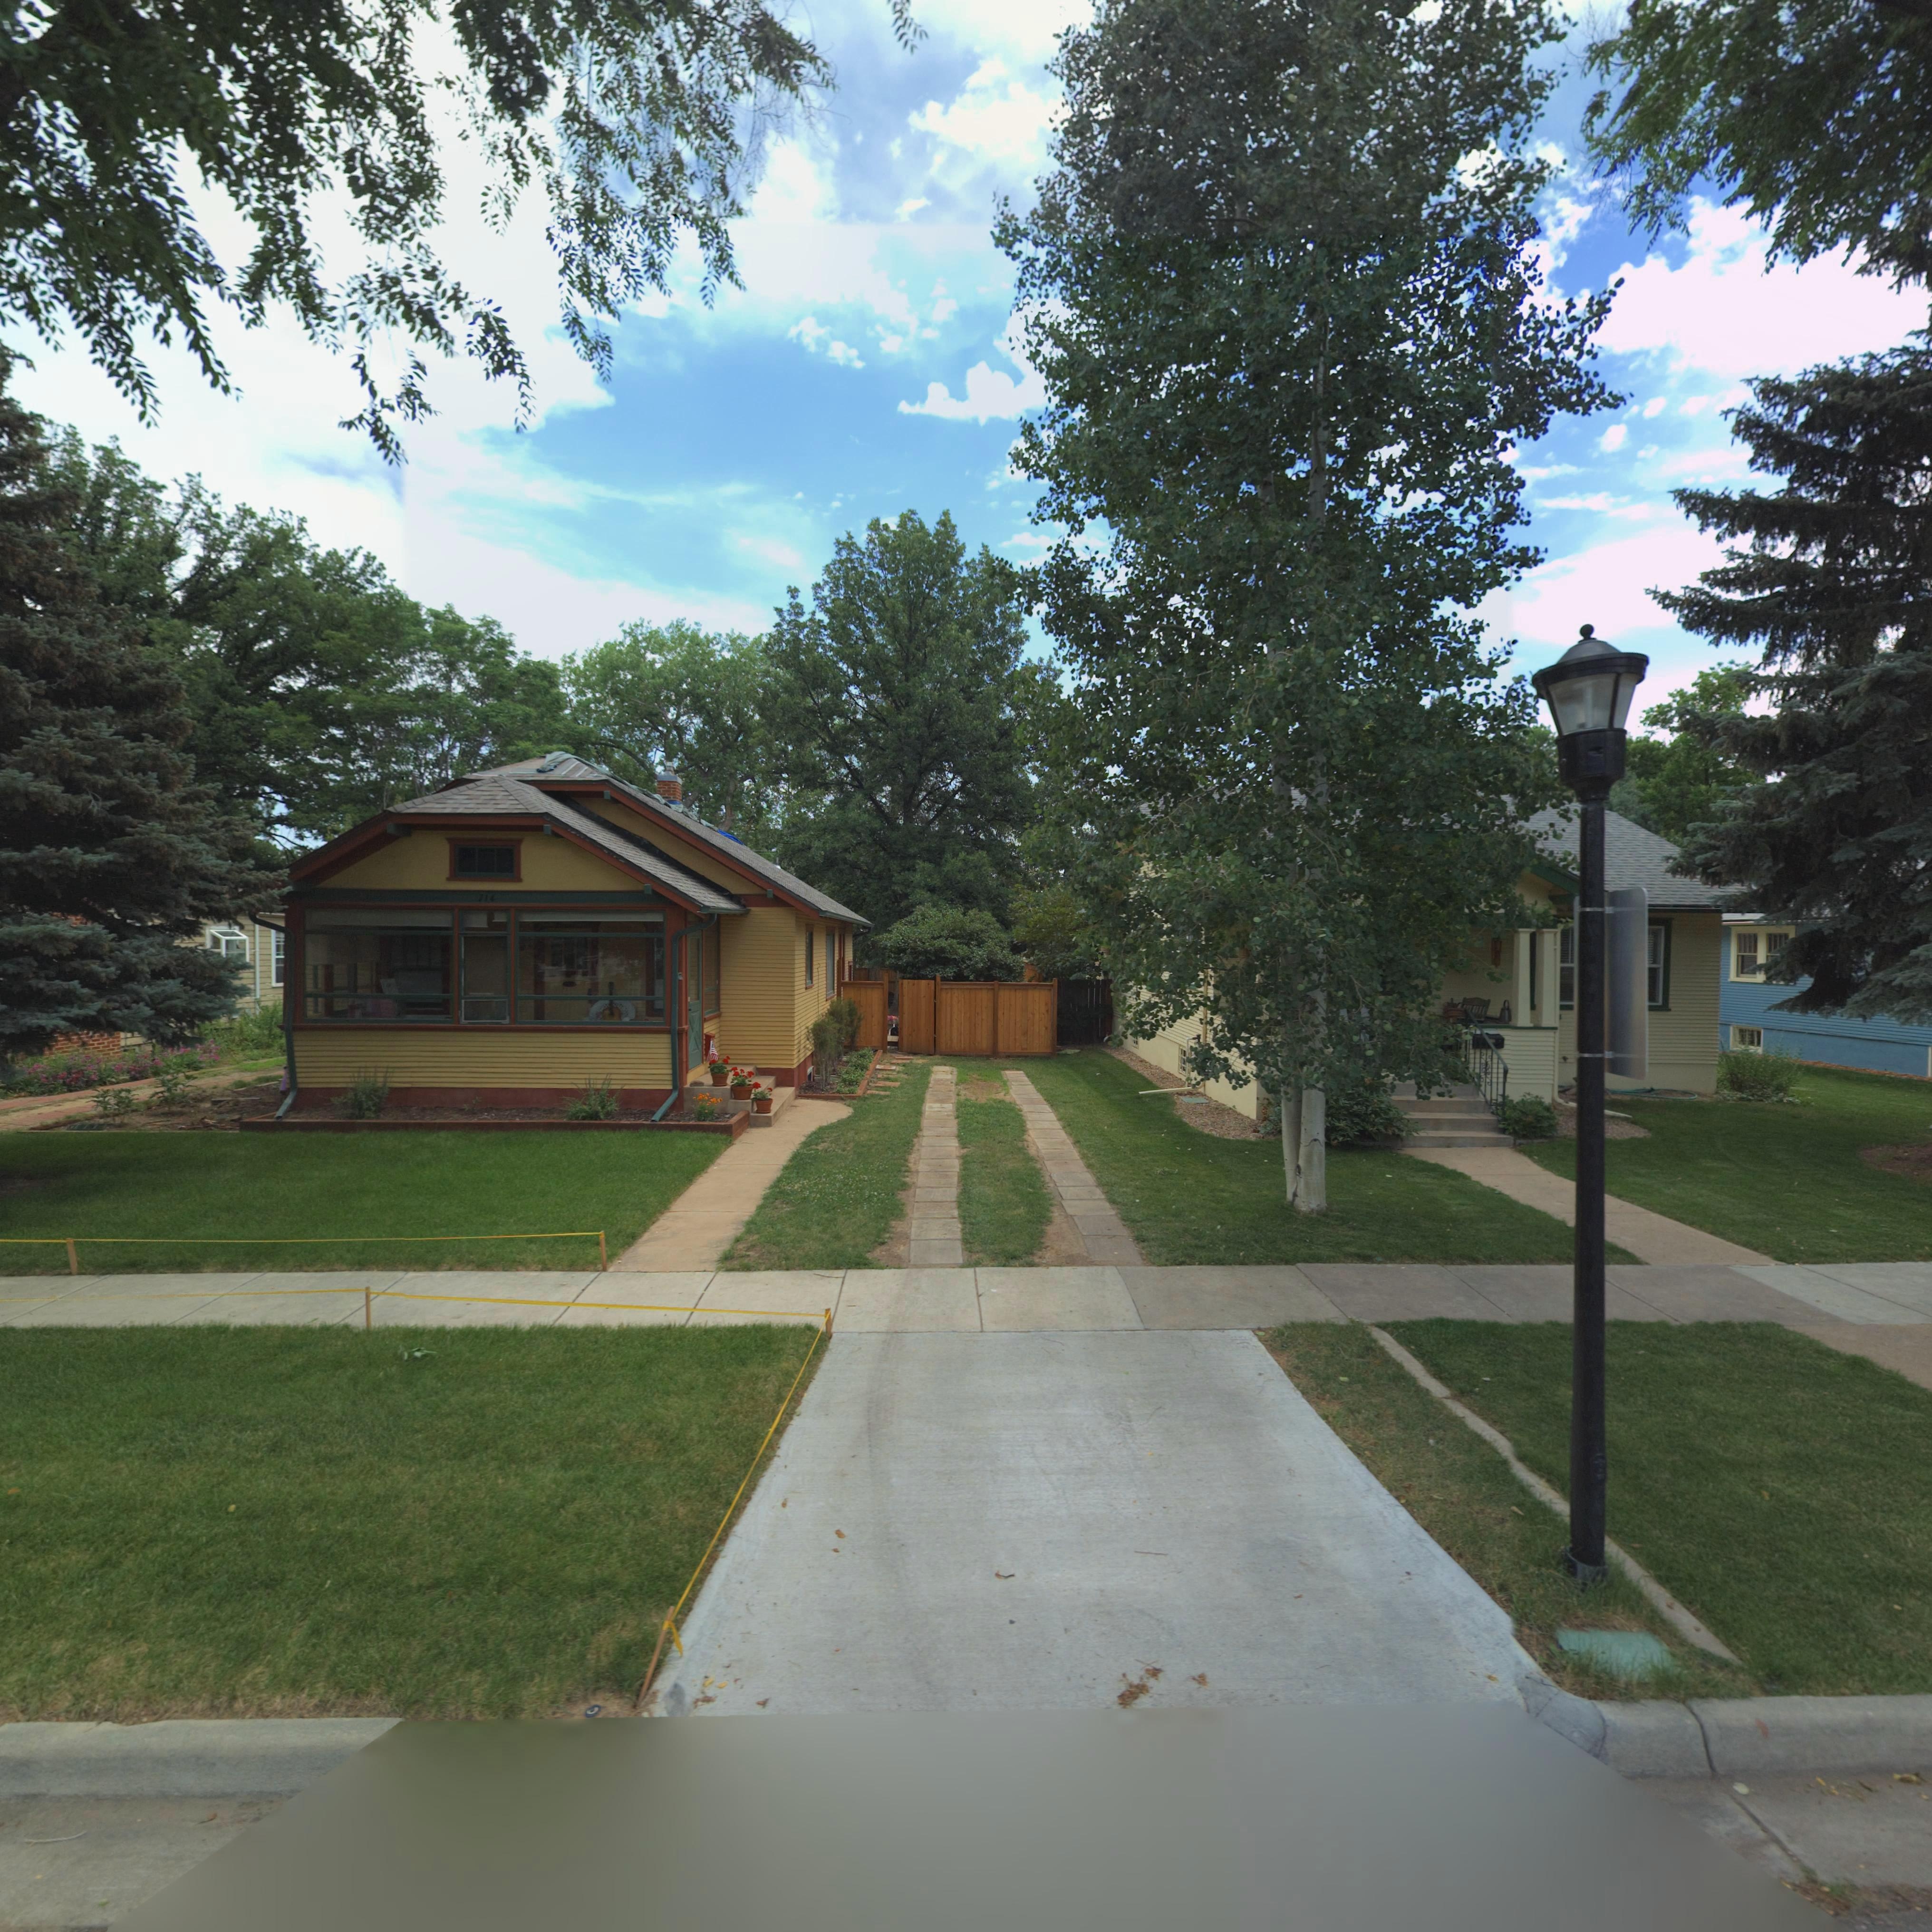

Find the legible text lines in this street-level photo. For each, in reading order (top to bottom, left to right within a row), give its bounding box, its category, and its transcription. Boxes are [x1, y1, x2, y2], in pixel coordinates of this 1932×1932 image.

[477, 893, 495, 902] StreetNumber: 714